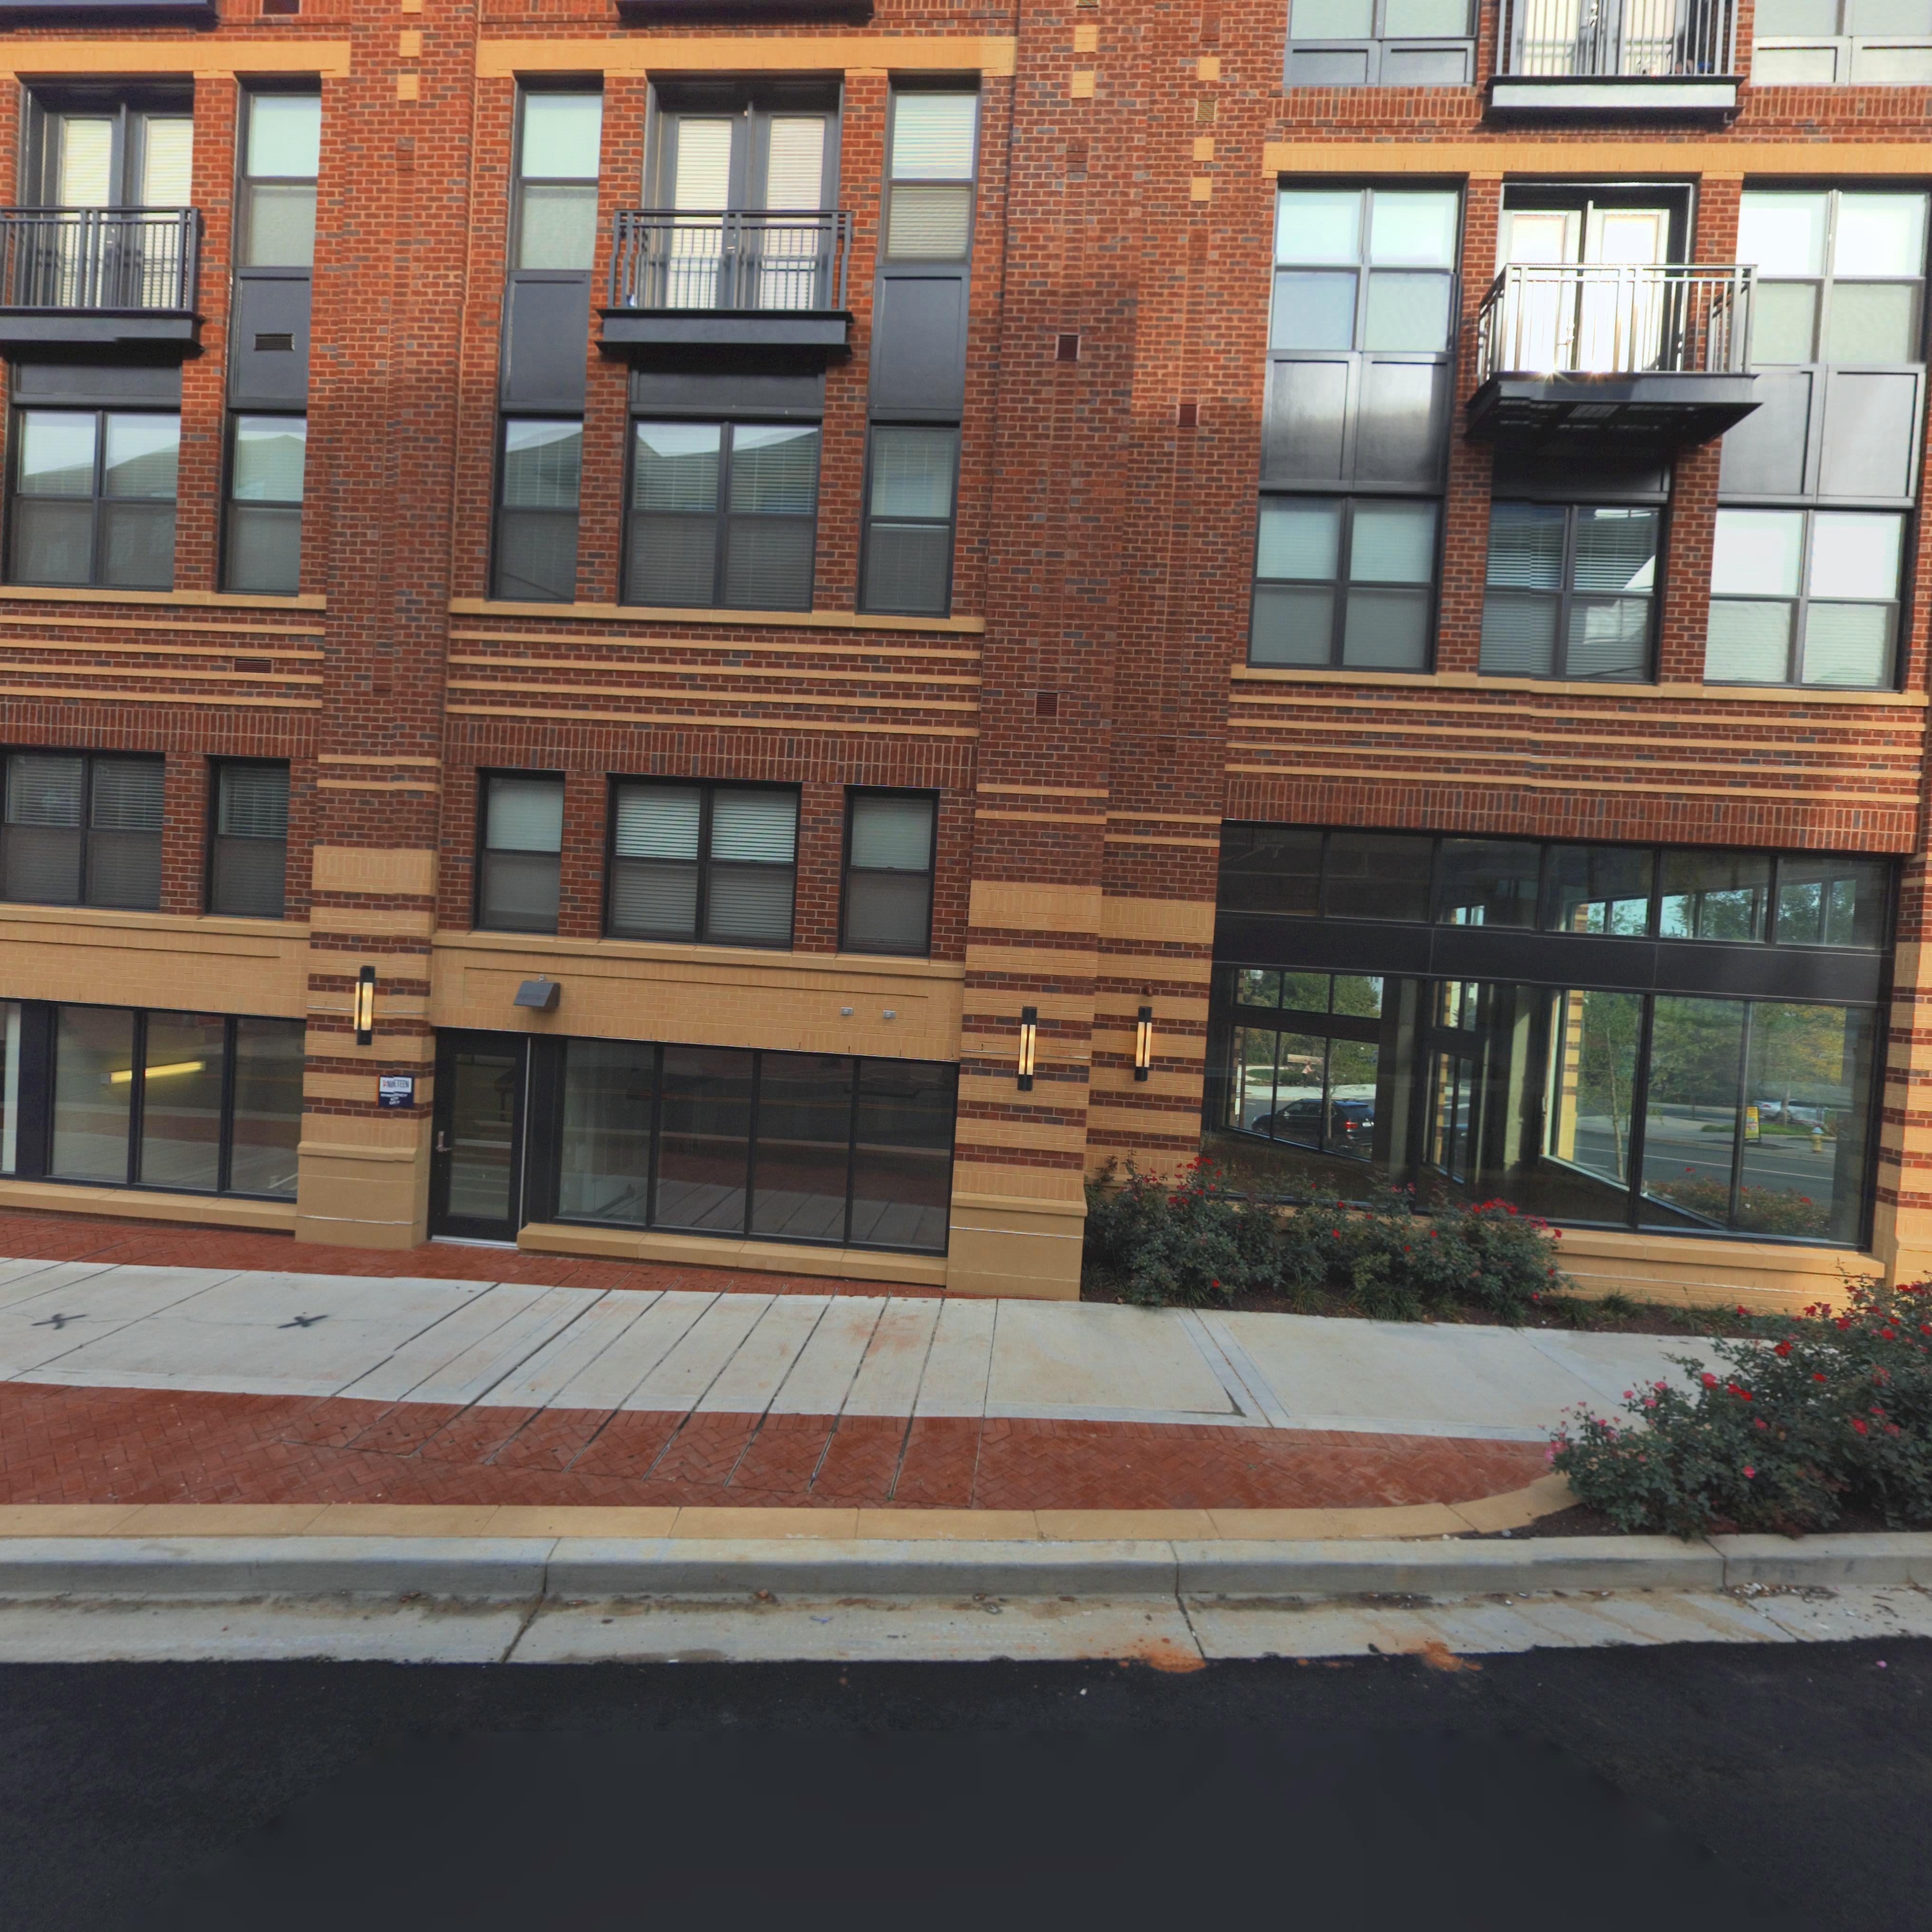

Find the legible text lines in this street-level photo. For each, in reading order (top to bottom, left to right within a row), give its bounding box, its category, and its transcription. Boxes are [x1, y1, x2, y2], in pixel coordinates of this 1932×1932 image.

[396, 1079, 410, 1089] None: TEEN